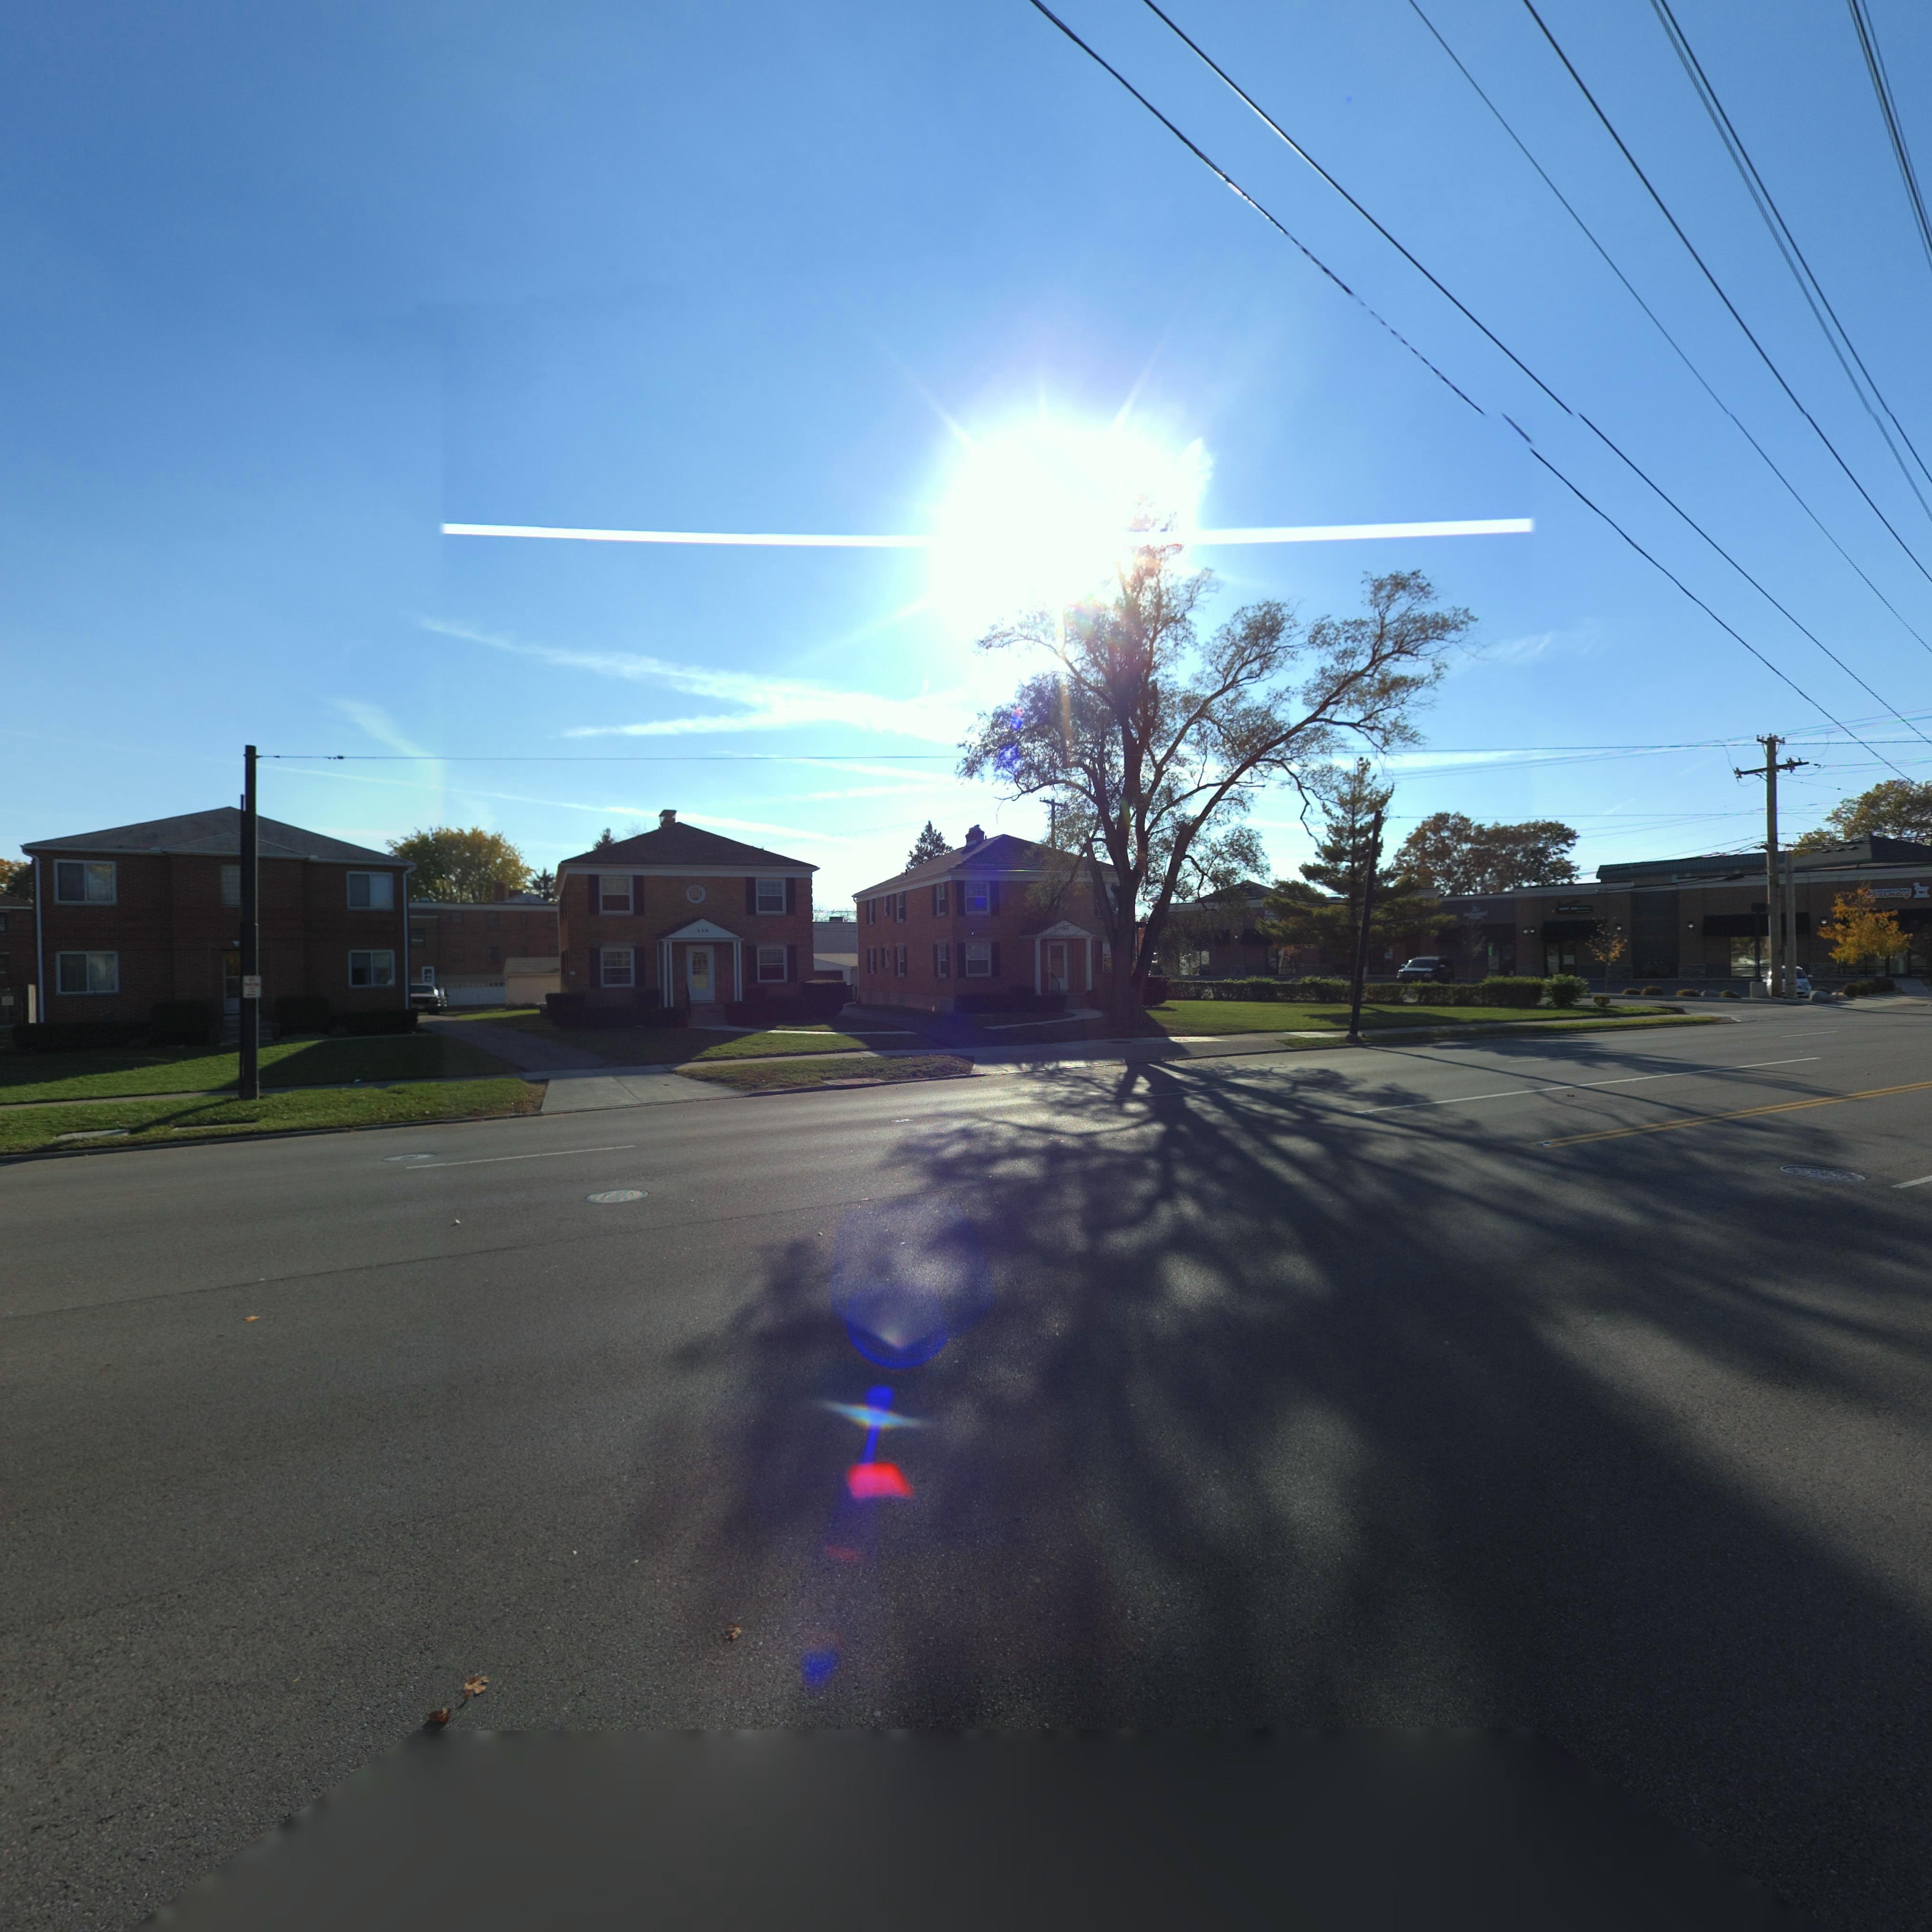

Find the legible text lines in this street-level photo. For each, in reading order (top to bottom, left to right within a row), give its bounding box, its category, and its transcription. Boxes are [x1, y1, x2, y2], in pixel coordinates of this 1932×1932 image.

[697, 927, 709, 933] StreetNumber: **0